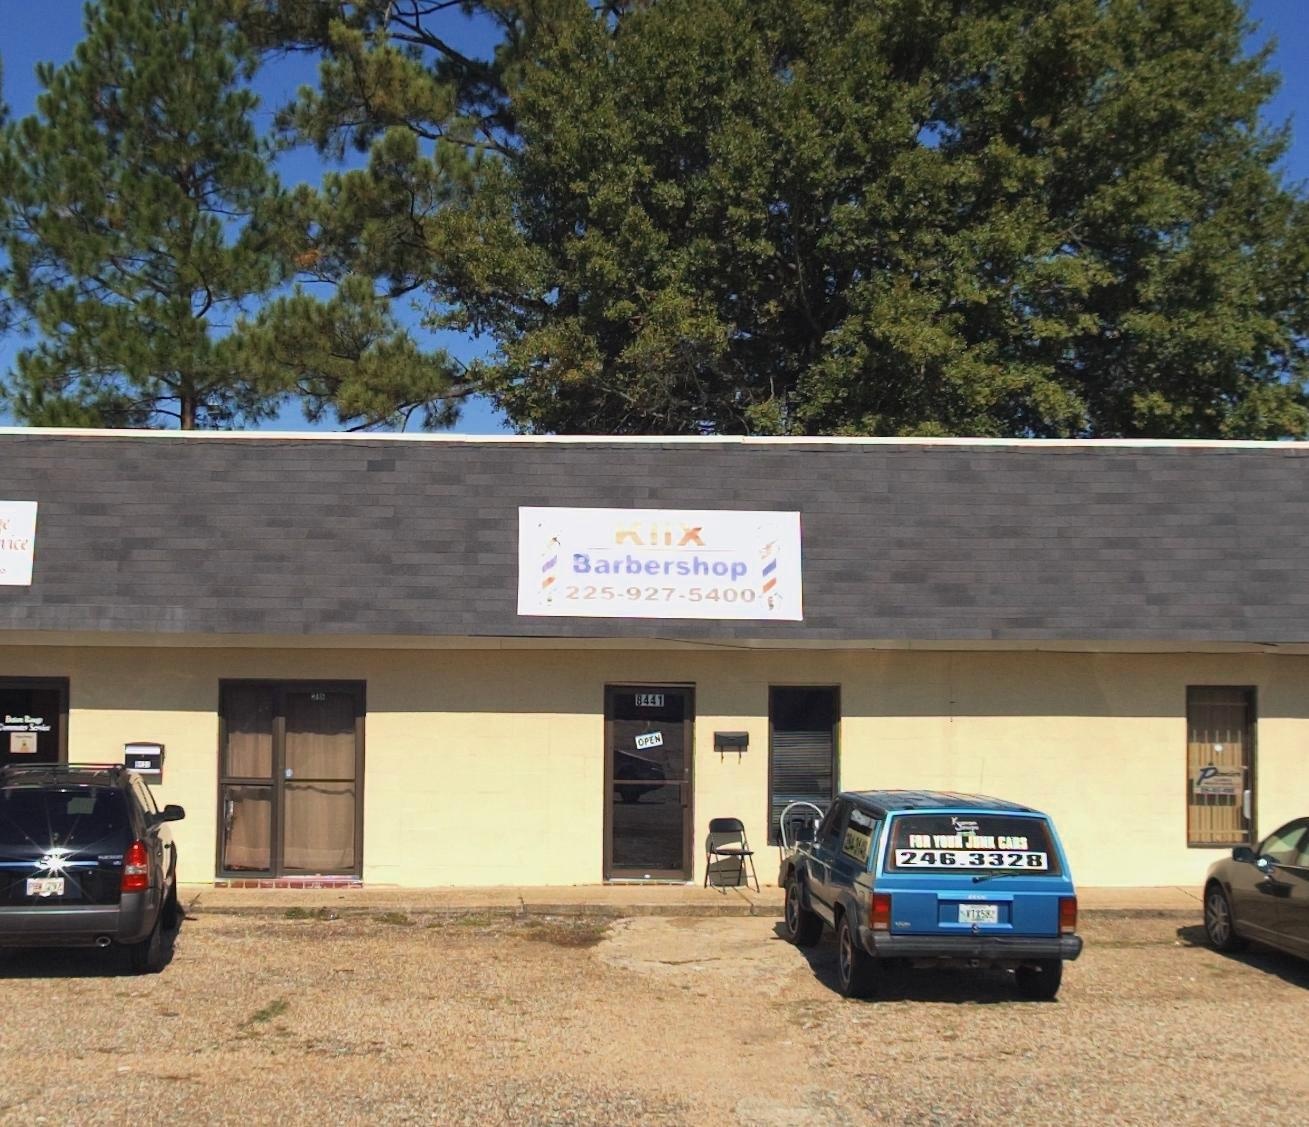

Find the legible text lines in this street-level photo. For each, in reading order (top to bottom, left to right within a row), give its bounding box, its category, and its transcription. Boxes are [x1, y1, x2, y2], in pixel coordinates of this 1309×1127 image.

[569, 548, 752, 585] BusinessName: Babershop
[560, 582, 758, 606] None: 225-927-5400
[634, 692, 665, 708] None: 8441
[635, 731, 663, 749] None: OPEN
[1193, 765, 1222, 789] None: P
[906, 830, 1033, 852] None: FOR YOUR J*** CARS
[898, 849, 1046, 869] None: 246.3328